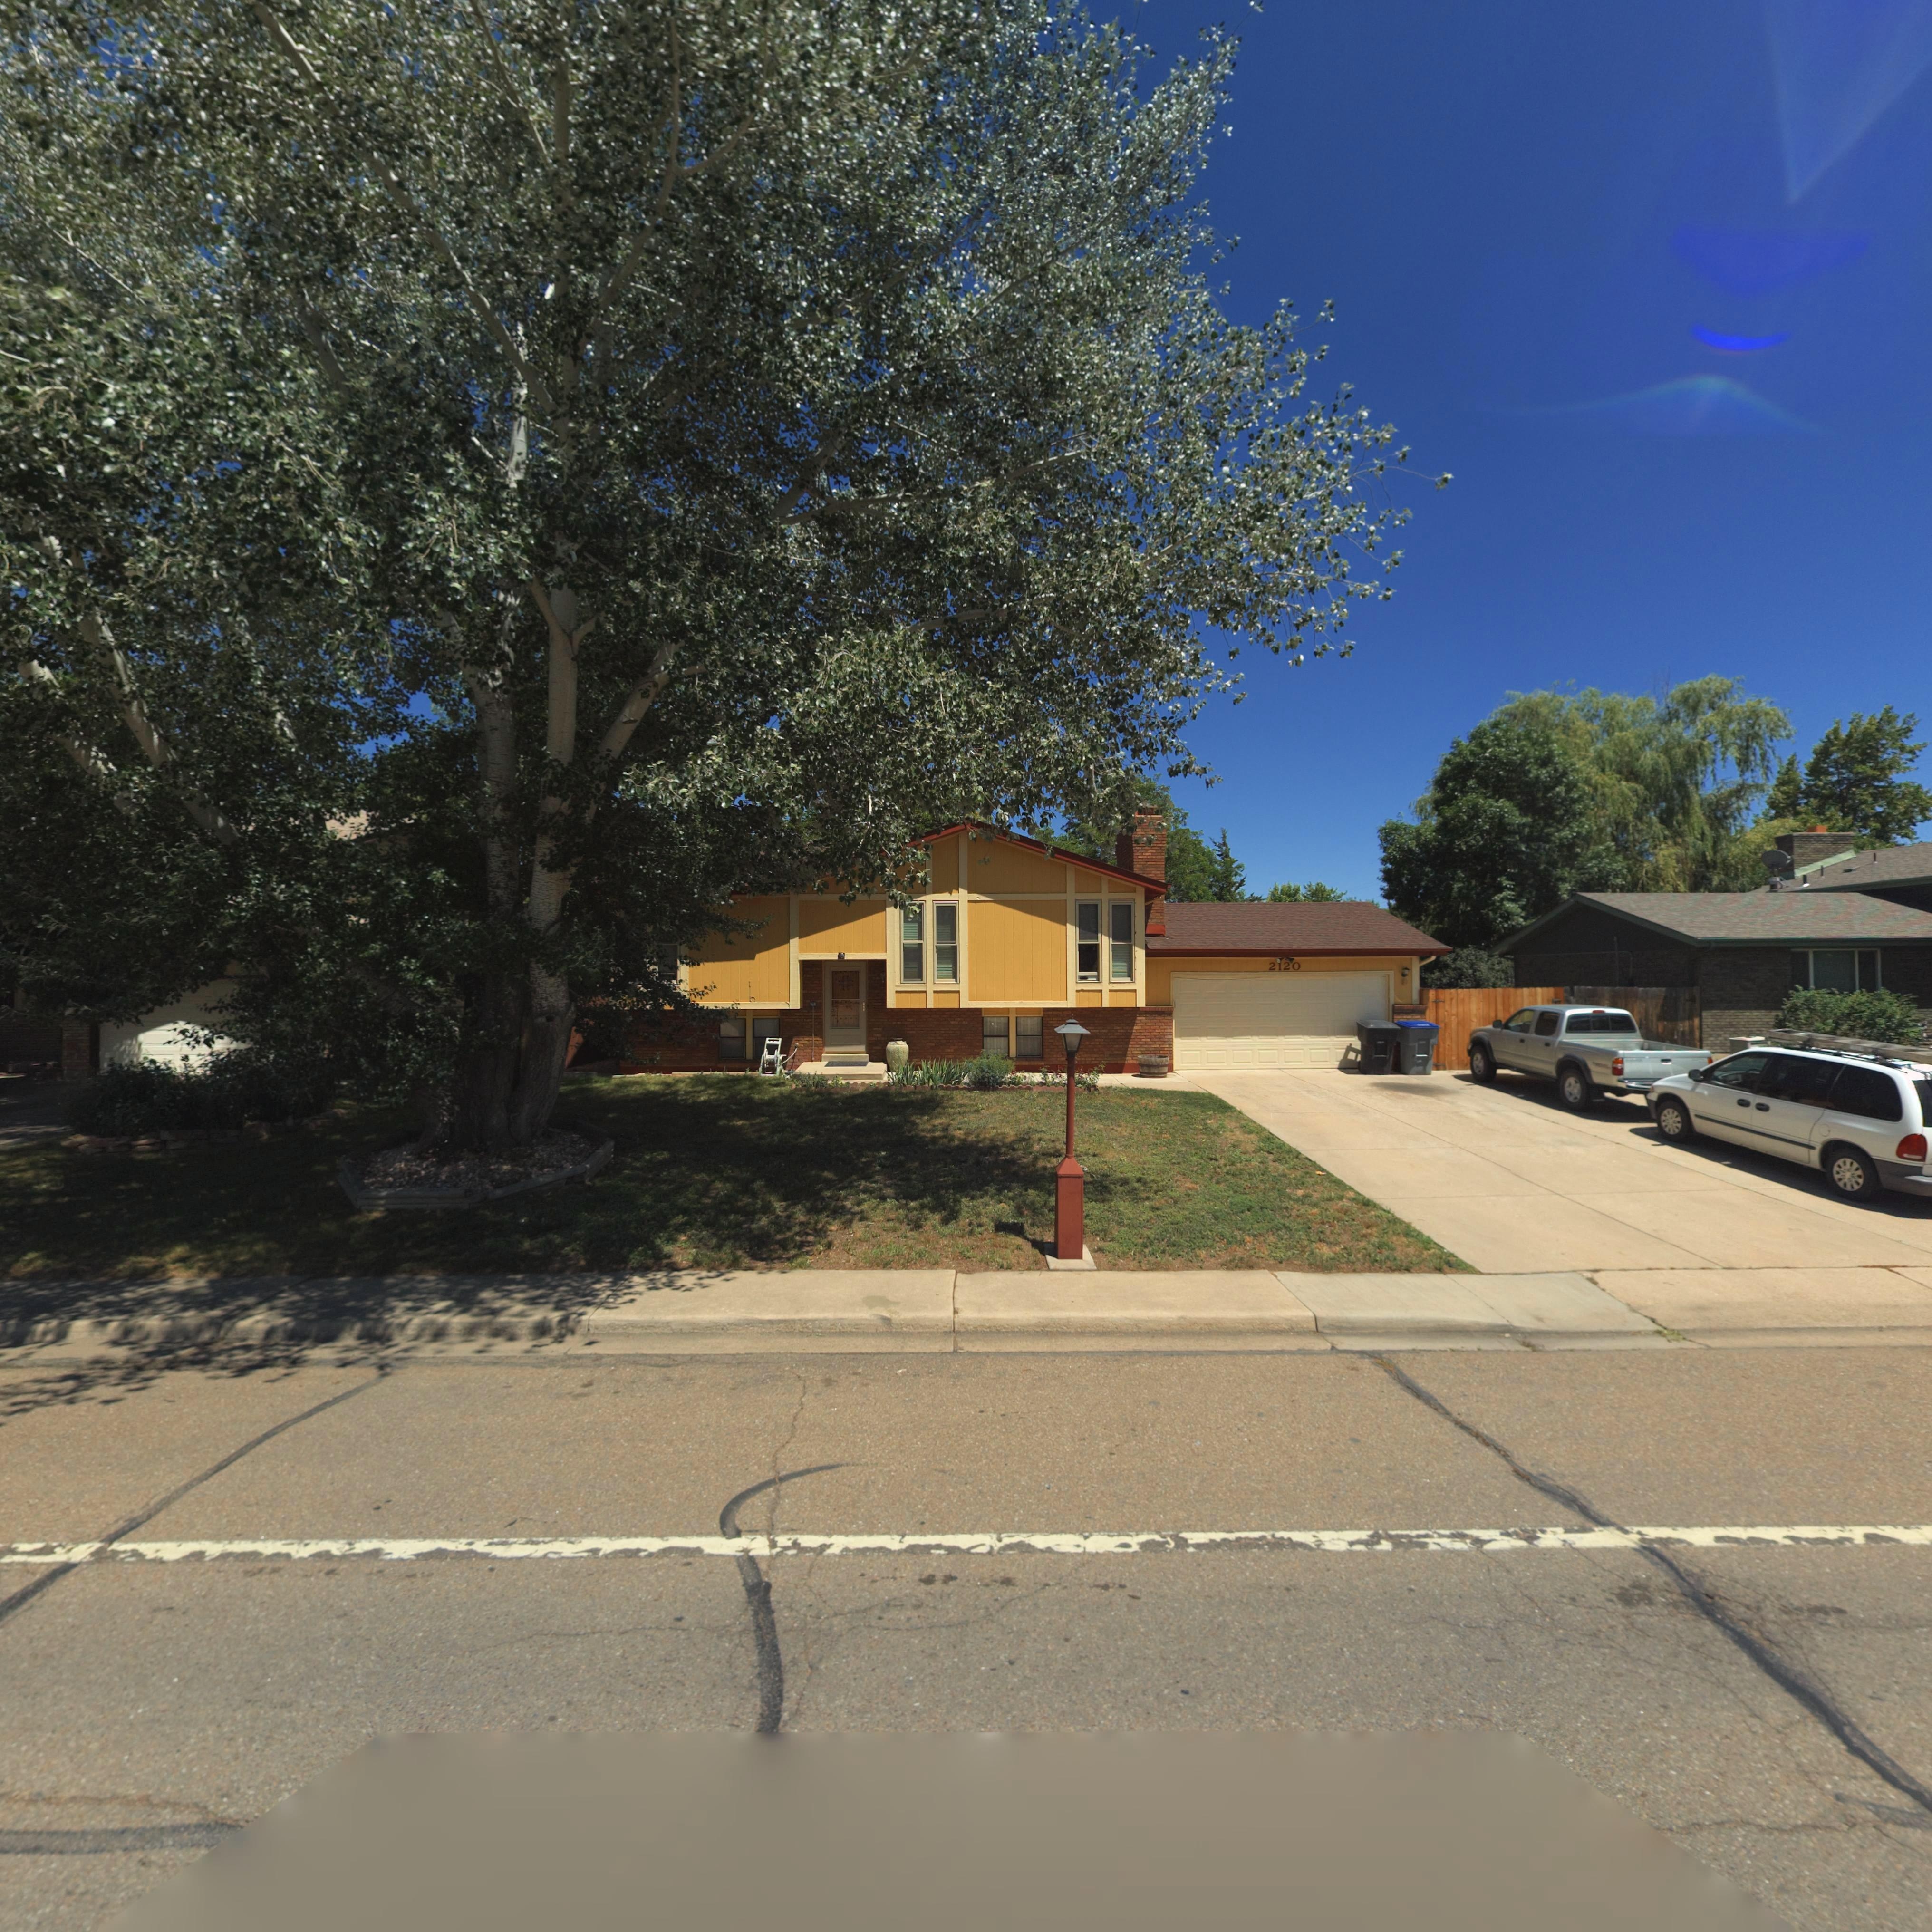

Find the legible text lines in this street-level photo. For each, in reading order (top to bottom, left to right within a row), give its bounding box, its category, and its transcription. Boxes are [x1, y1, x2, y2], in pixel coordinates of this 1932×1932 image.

[1268, 961, 1302, 971] StreetNumber: 2120